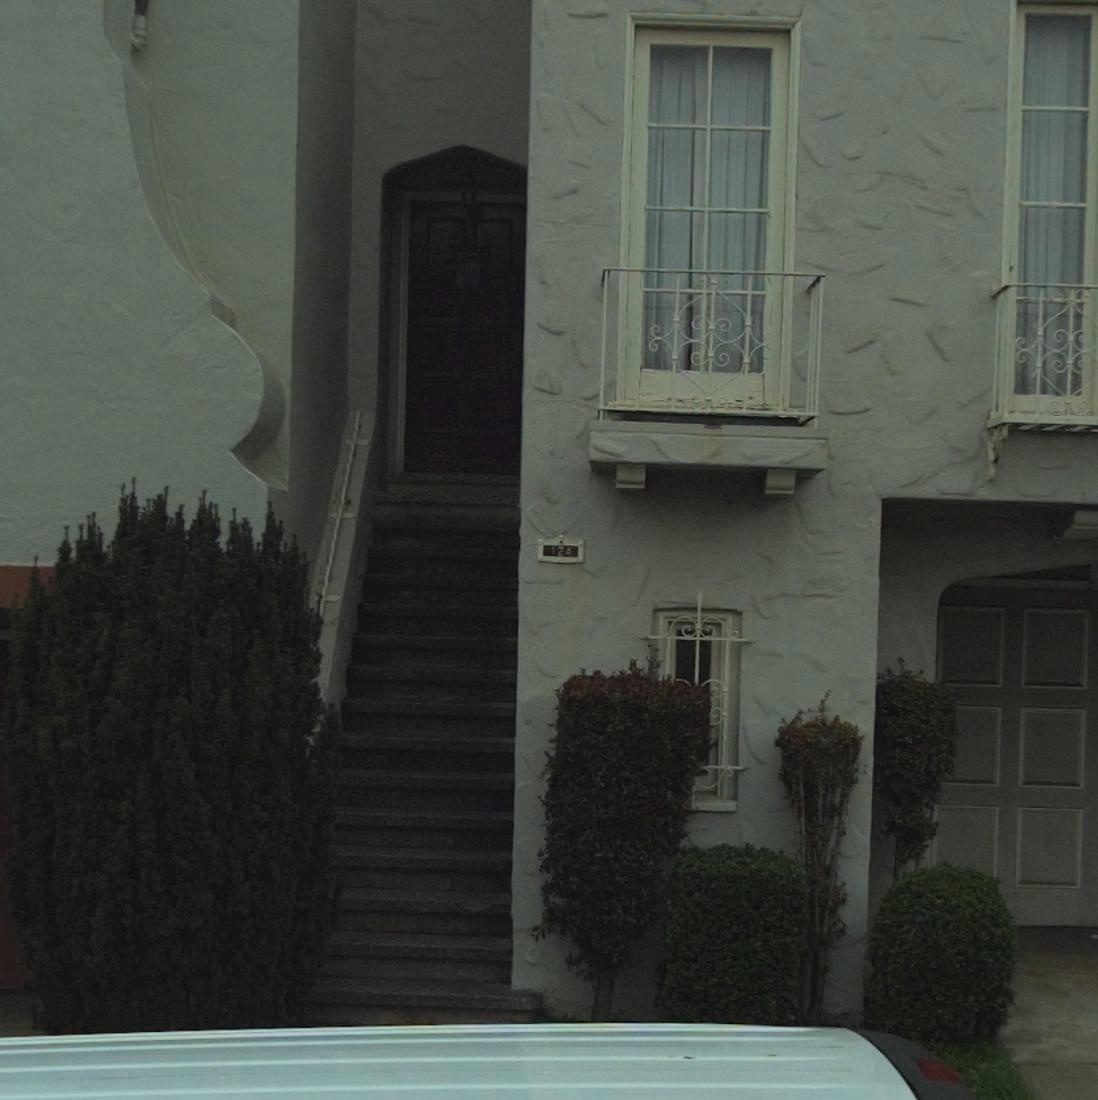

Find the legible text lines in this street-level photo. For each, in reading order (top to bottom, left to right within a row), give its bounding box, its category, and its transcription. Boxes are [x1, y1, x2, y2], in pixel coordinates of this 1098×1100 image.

[550, 545, 573, 557] StreetNumber: 124